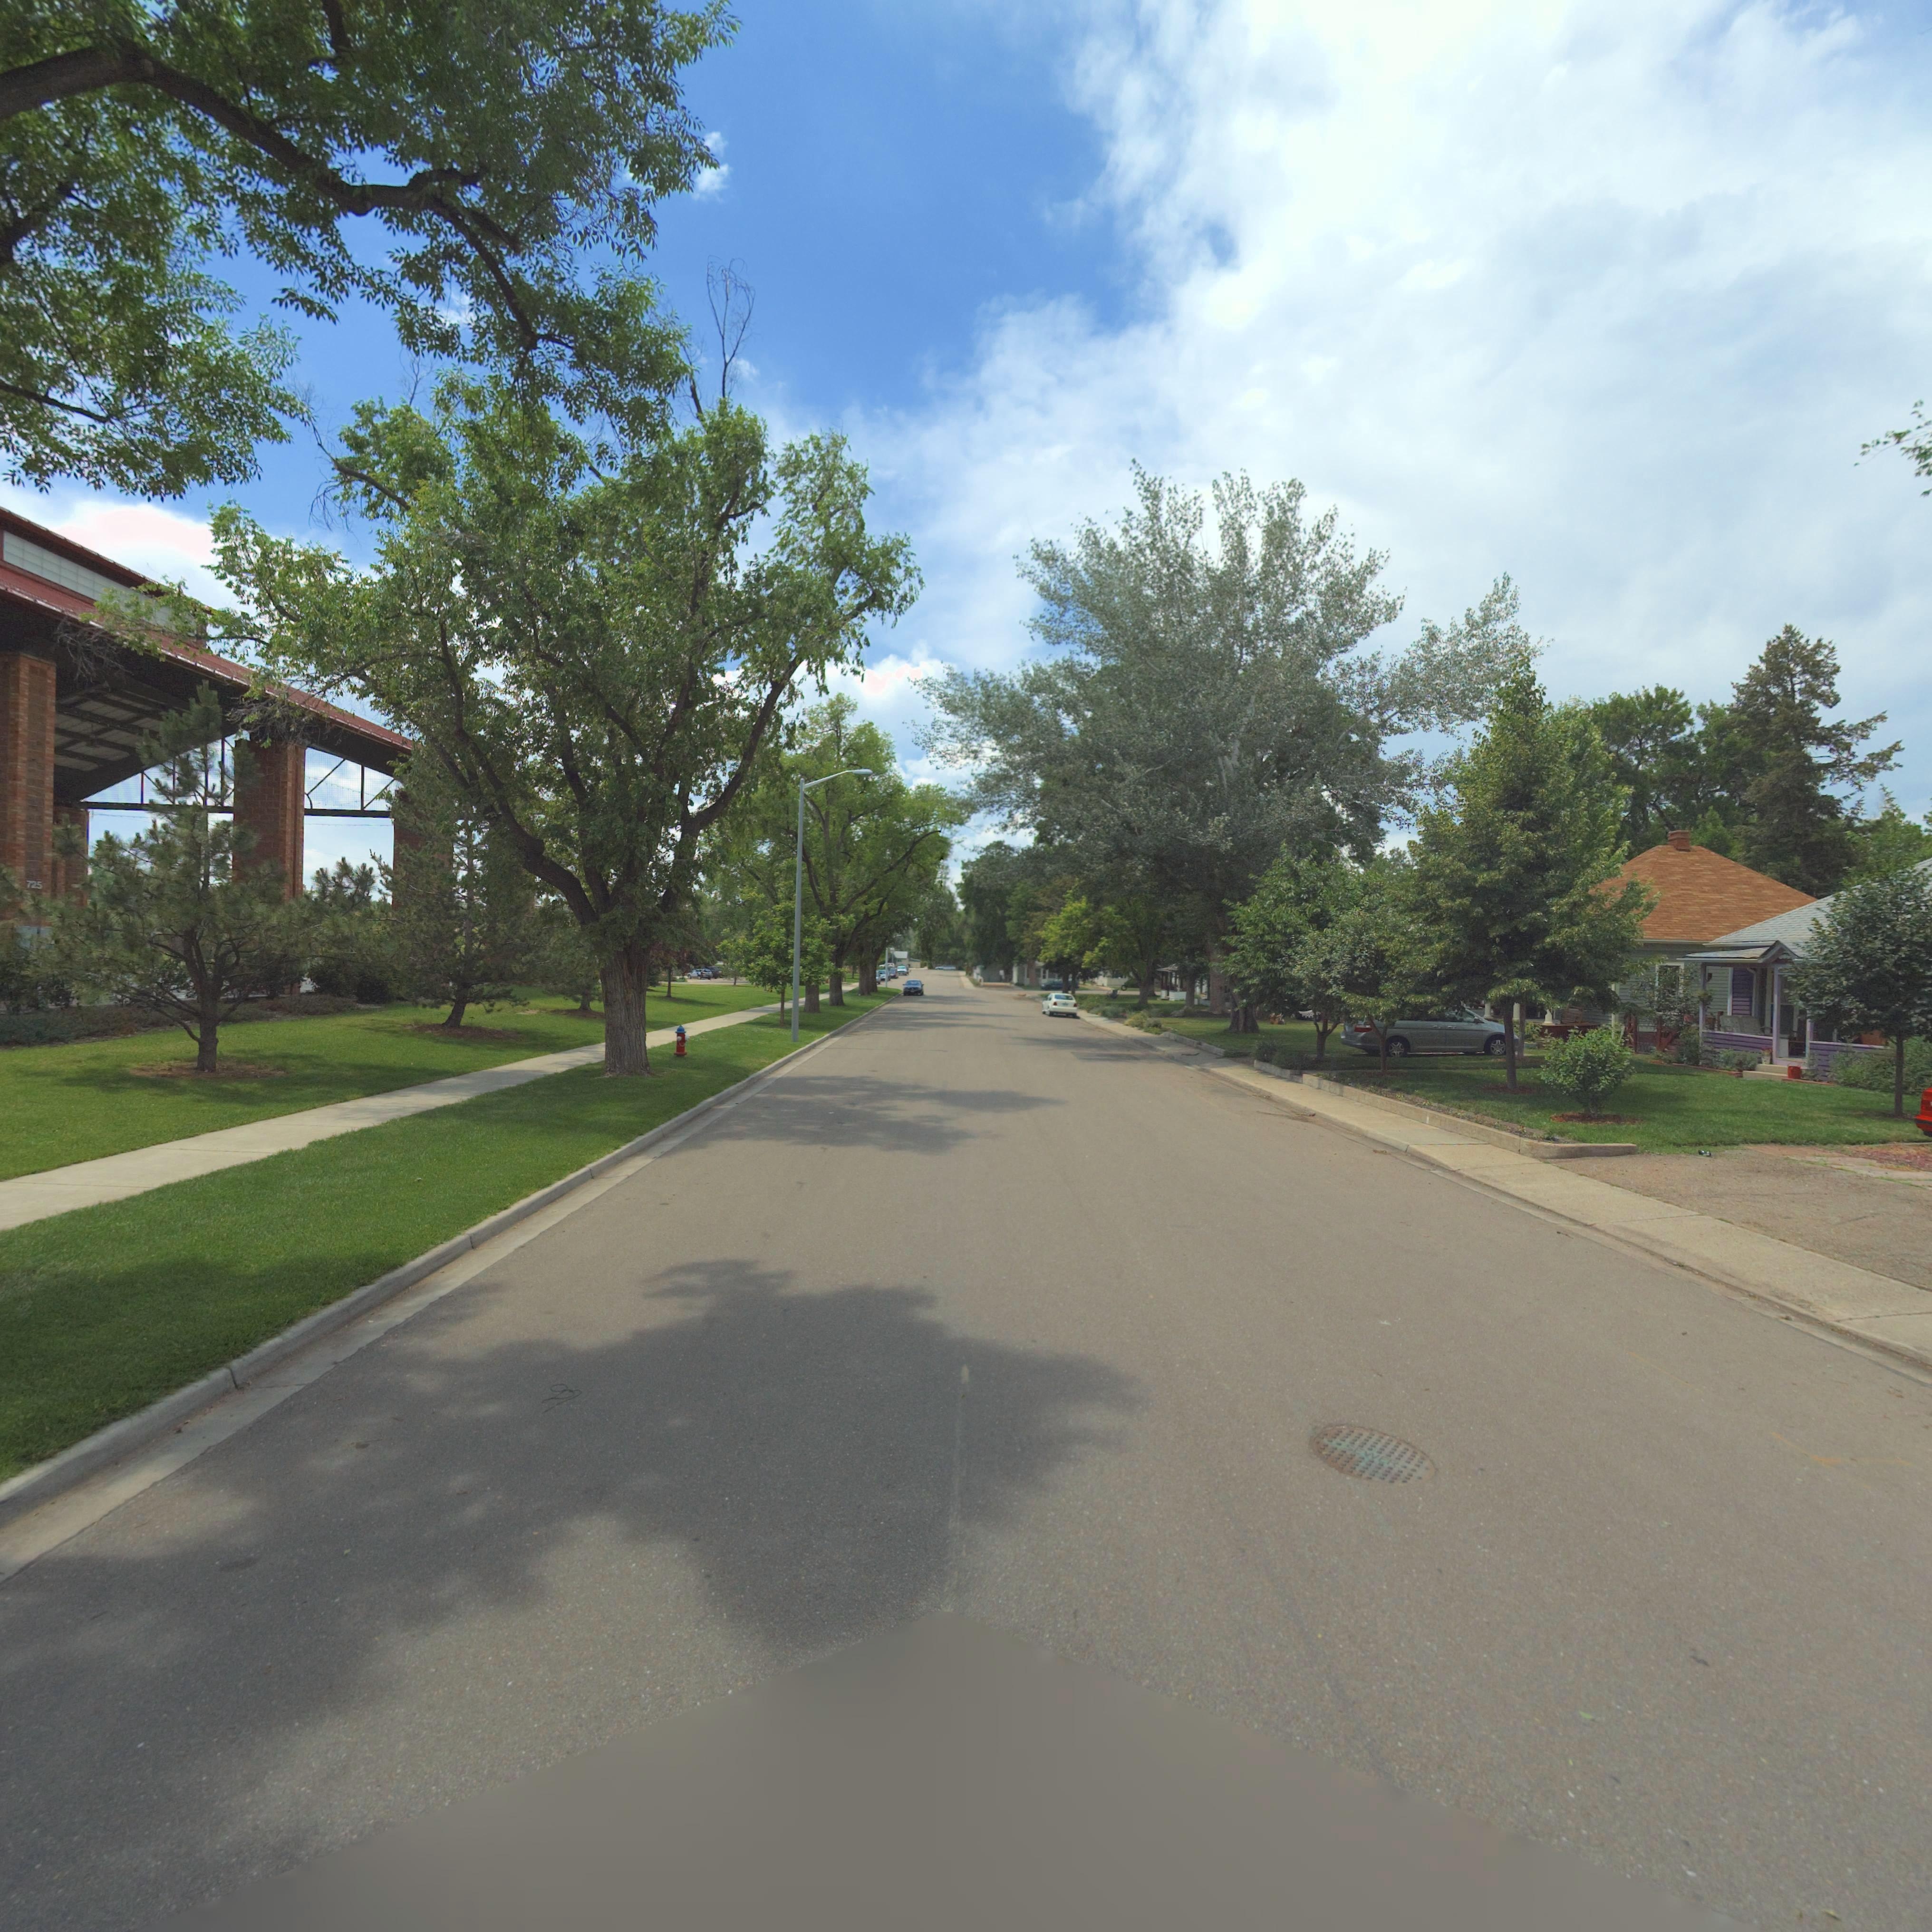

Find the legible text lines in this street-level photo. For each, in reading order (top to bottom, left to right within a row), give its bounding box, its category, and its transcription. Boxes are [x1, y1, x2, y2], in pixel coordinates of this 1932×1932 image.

[26, 880, 42, 889] StreetNumber: 725